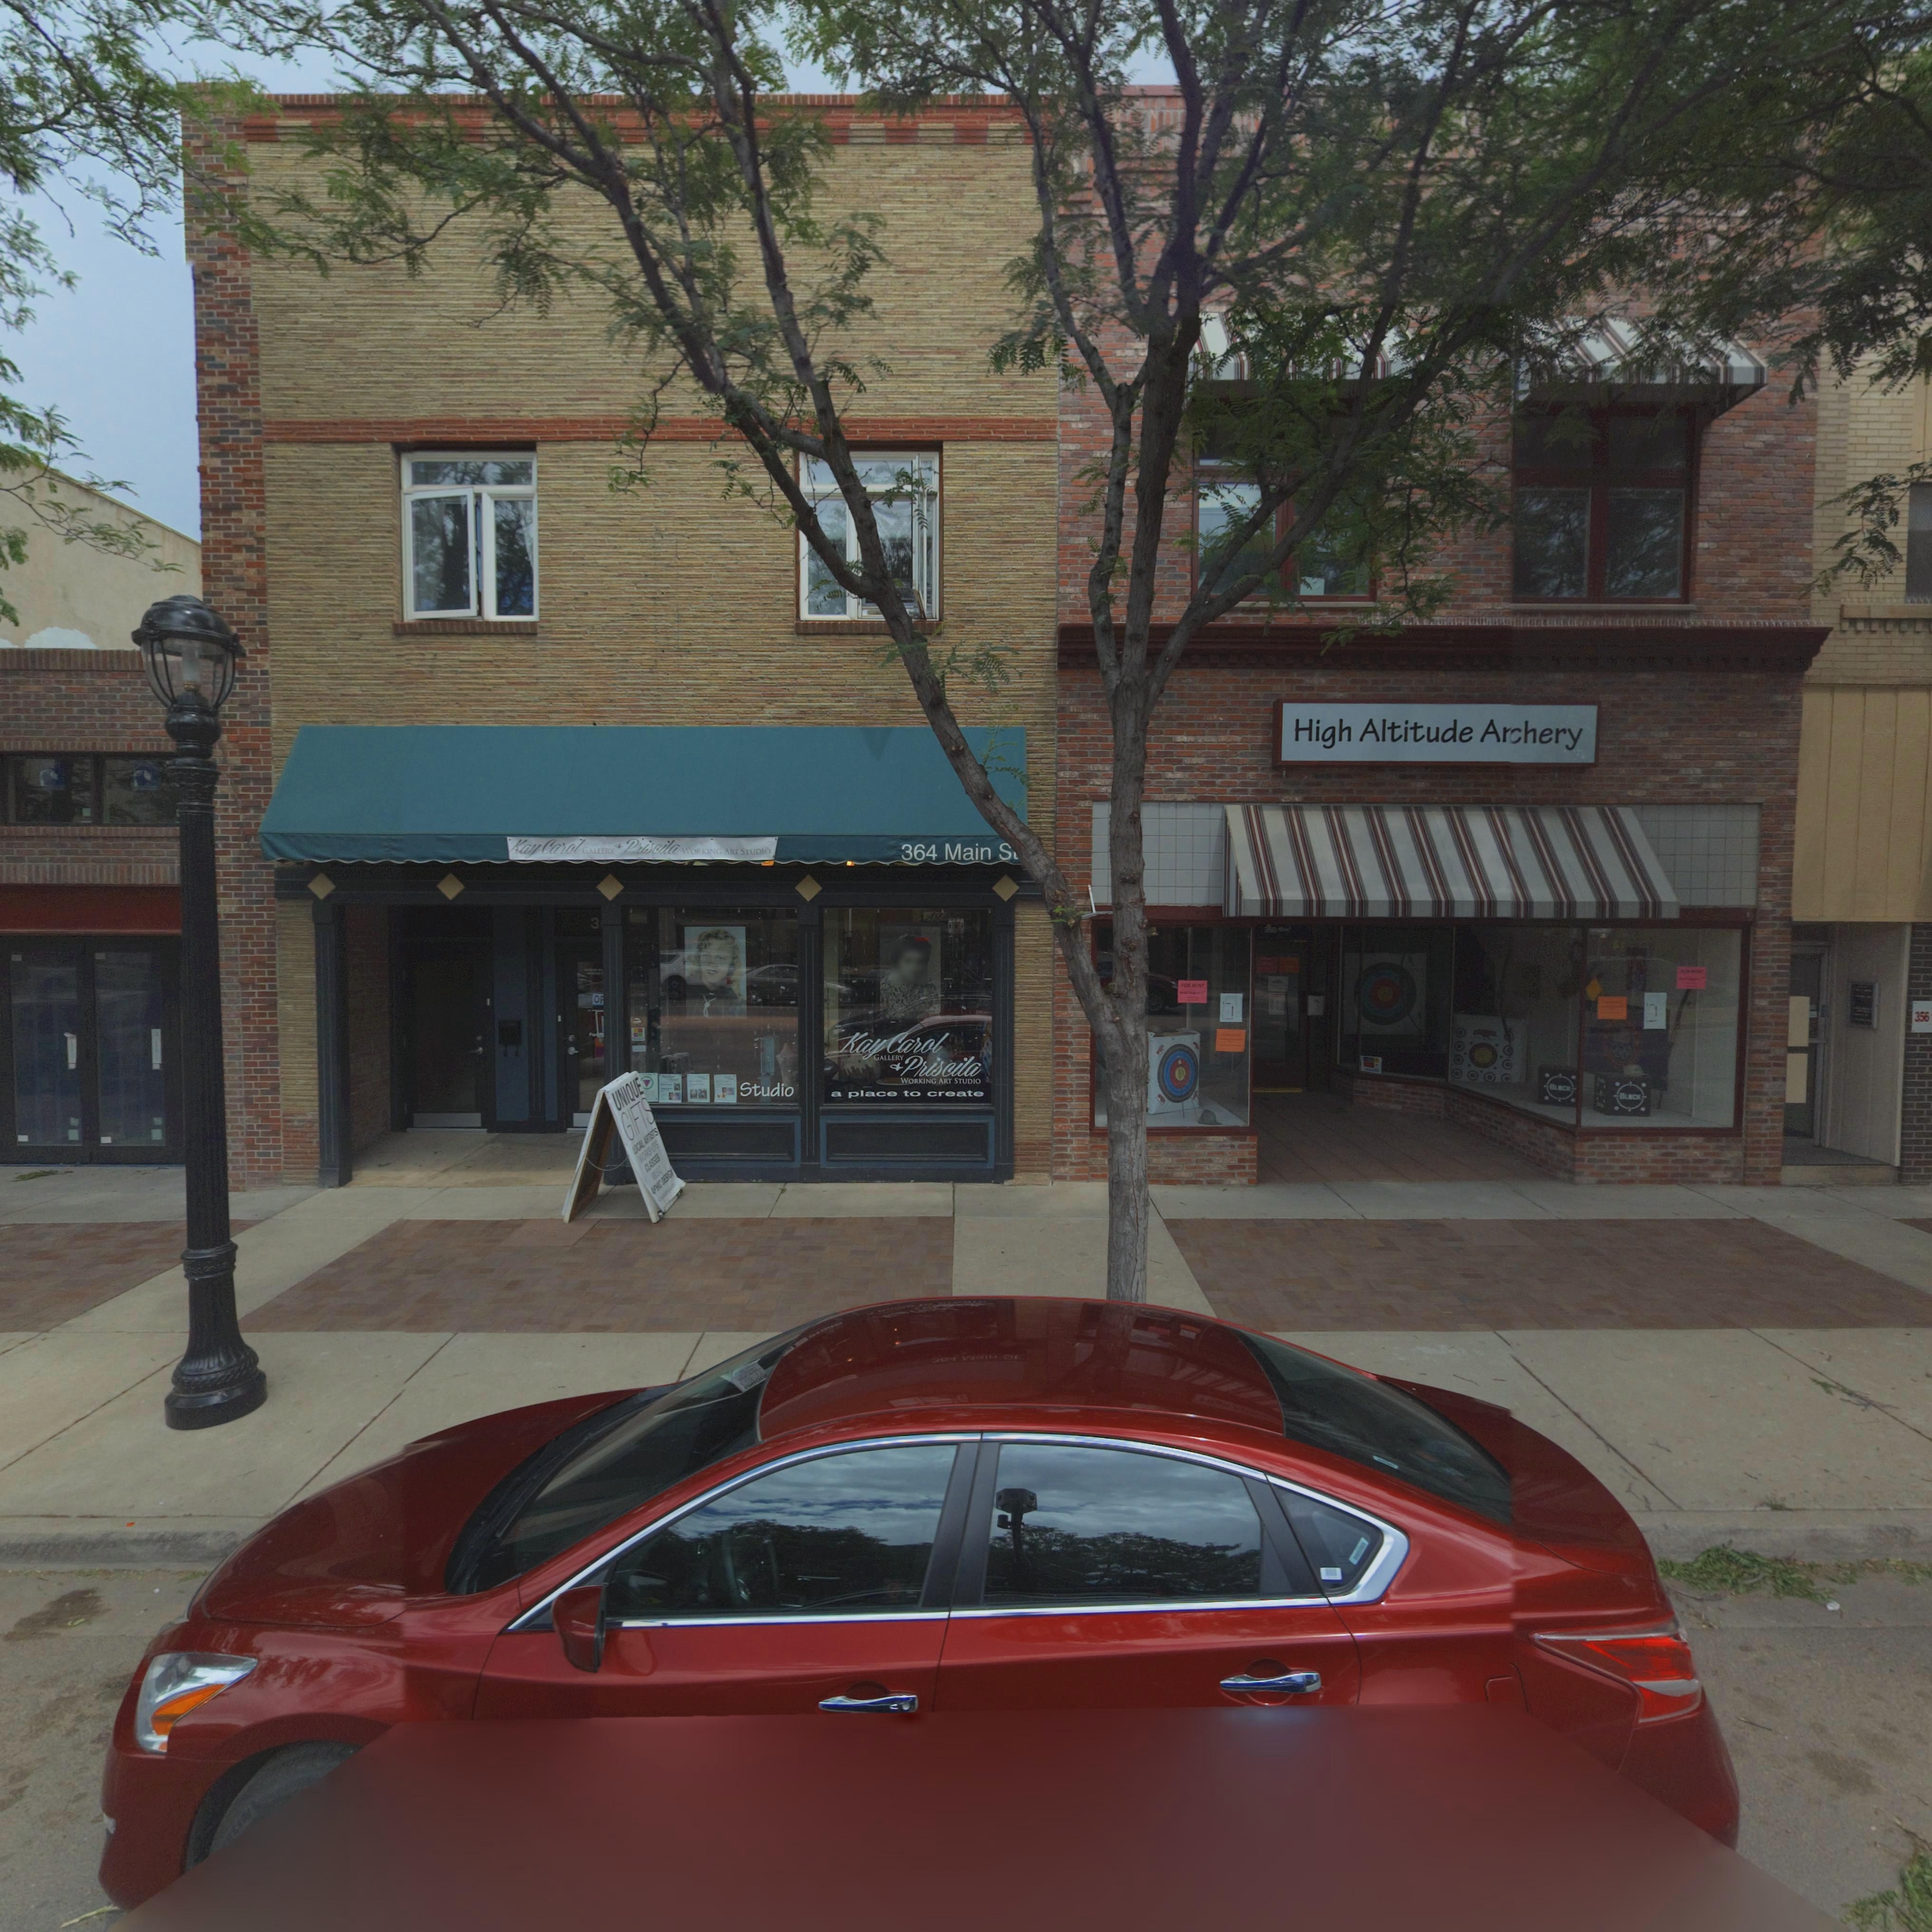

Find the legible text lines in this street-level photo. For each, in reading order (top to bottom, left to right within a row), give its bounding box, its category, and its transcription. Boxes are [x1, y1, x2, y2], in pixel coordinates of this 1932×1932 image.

[1294, 715, 1585, 751] BusinessName: High Altitude Archery
[508, 838, 615, 859] BusinessName: Kay Carol GALLERY
[622, 838, 771, 855] BusinessName: Priscila WORKING ART STUDIO
[901, 843, 938, 861] StreetNumber: 364
[945, 842, 1020, 862] StreetName: Main S*
[590, 917, 608, 929] StreetNumber: 3**
[1264, 927, 1276, 933] StreetNumber: 360
[1914, 1011, 1929, 1022] StreetNumber: 356
[837, 1030, 950, 1061] BusinessName: Kay Carol
[873, 1054, 905, 1061] BusinessName: GALLERY
[899, 1053, 983, 1078] BusinessName: Priscila
[900, 1077, 981, 1084] BusinessName: WORKING ART STUDIO